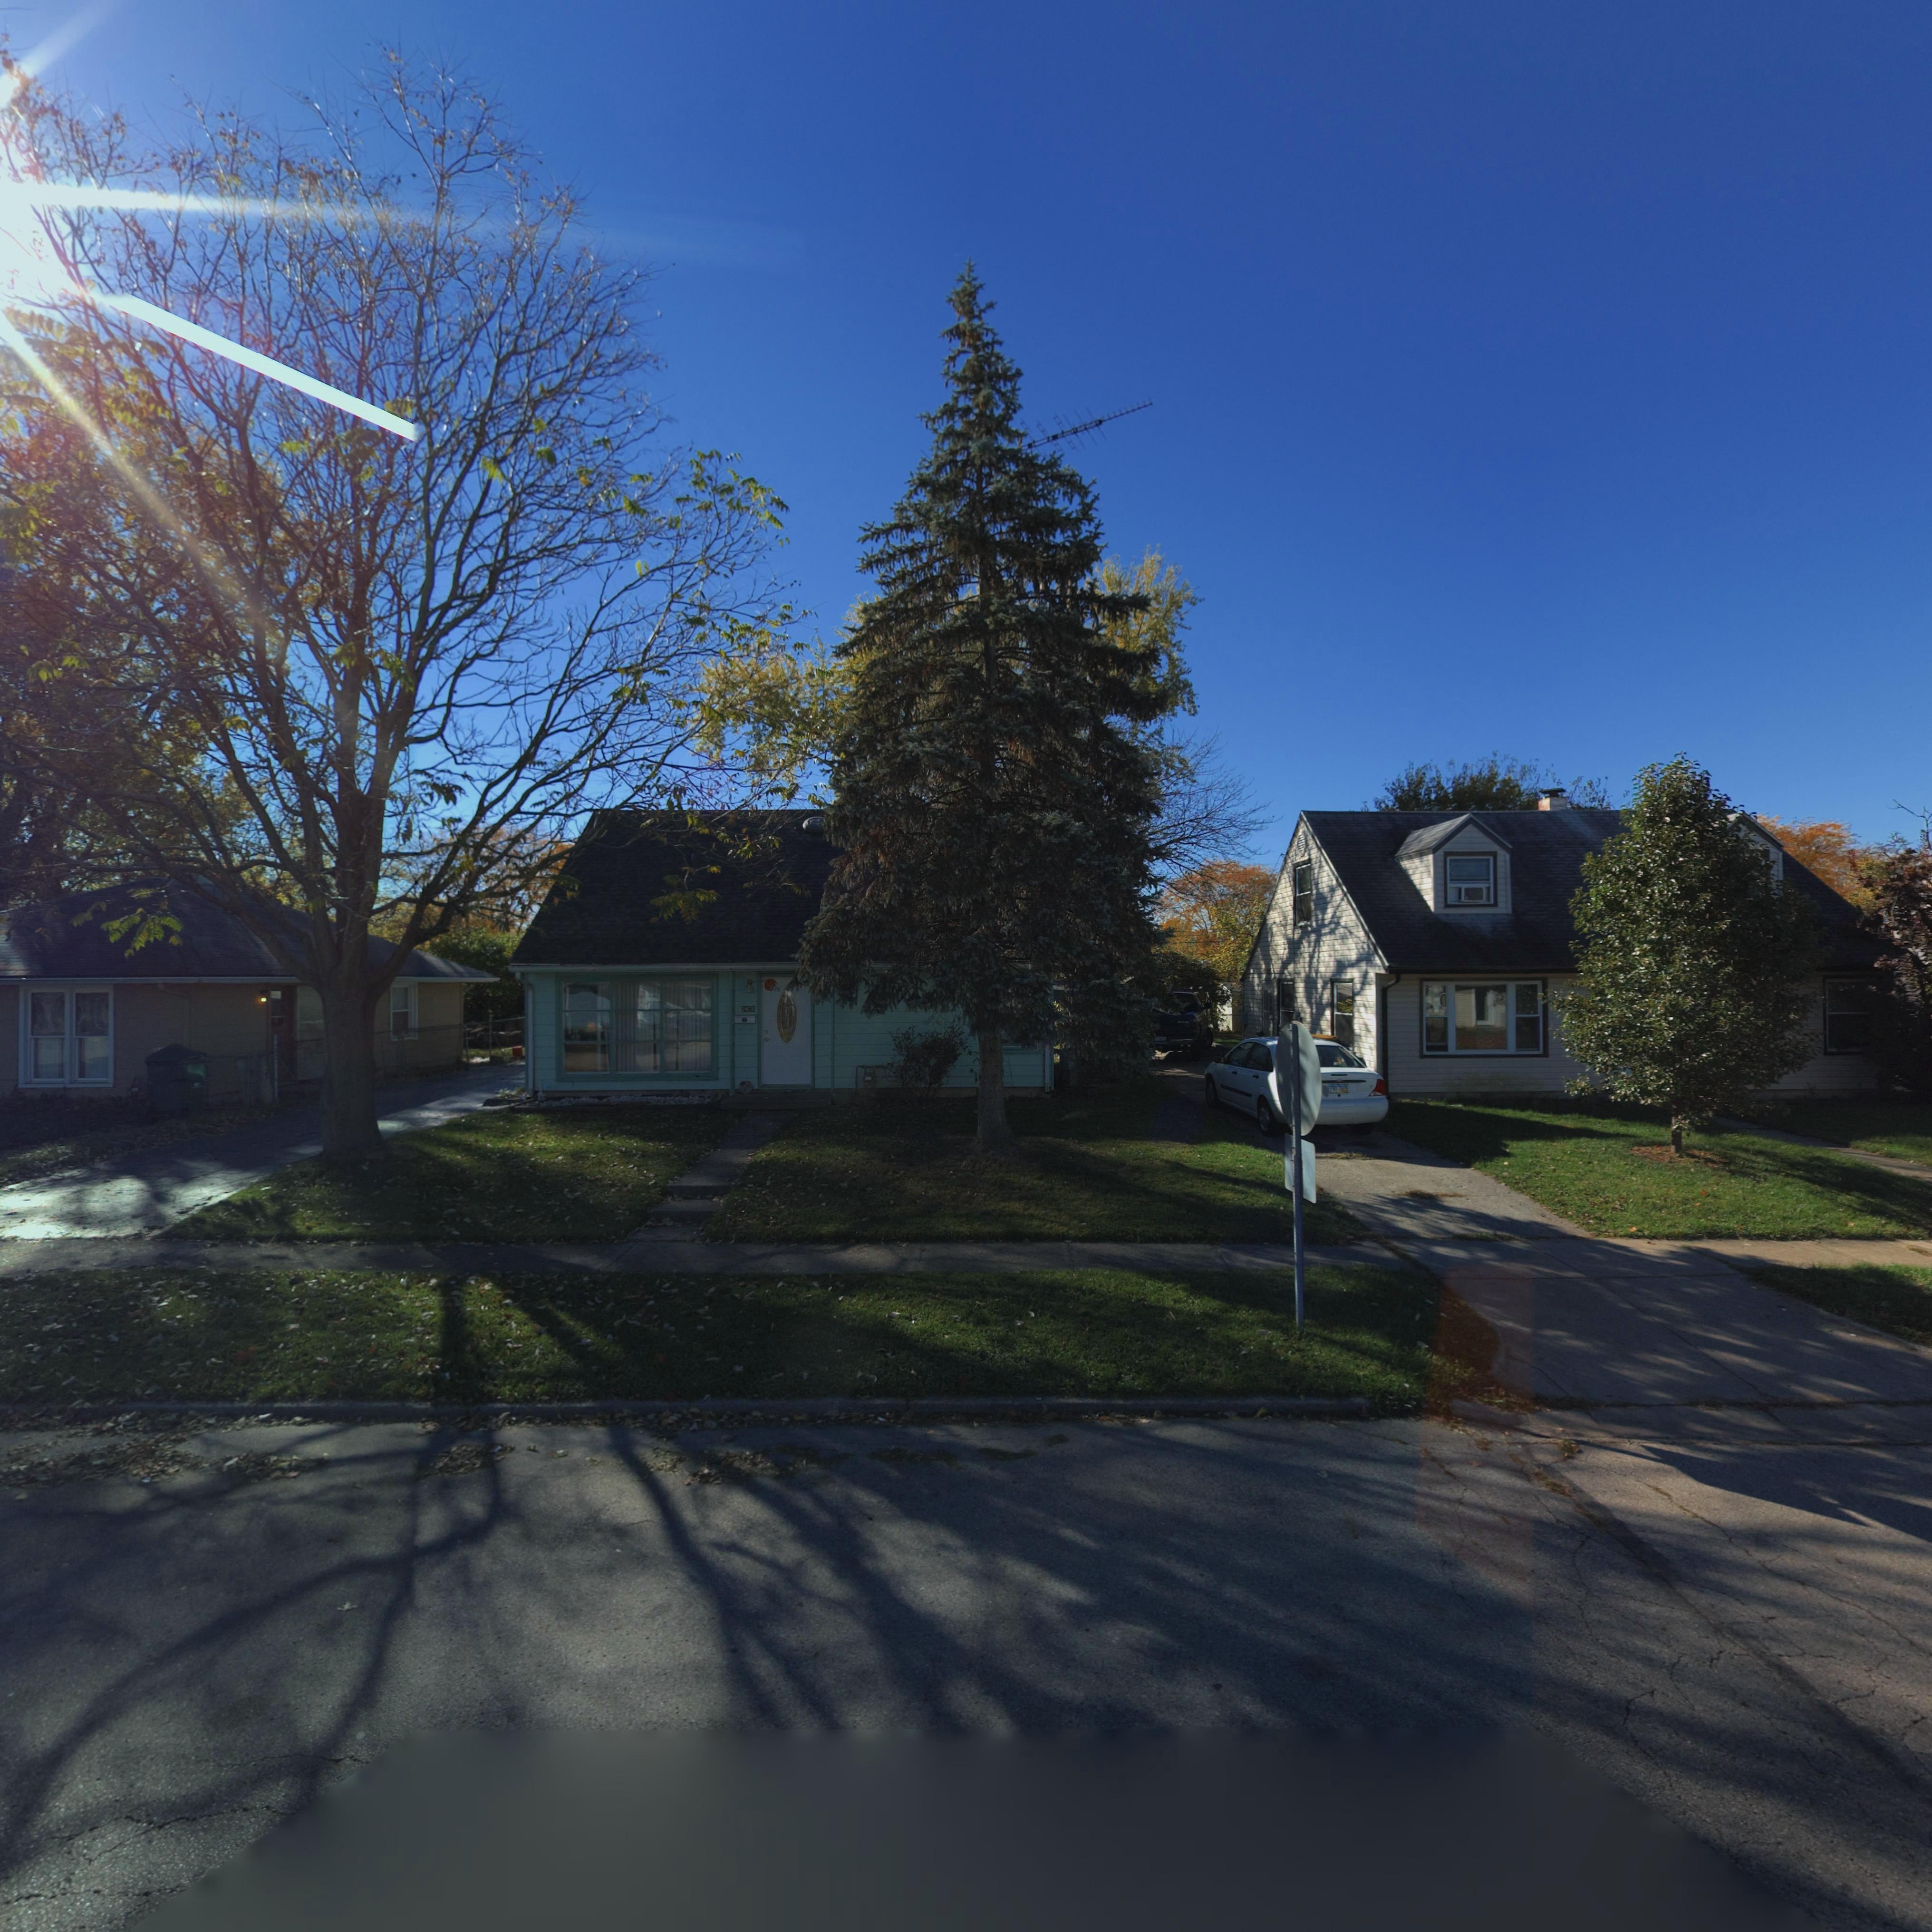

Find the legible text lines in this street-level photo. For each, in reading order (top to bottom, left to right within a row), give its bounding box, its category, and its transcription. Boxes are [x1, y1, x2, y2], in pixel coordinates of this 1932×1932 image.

[741, 1006, 755, 1012] StreetNumber: 2436